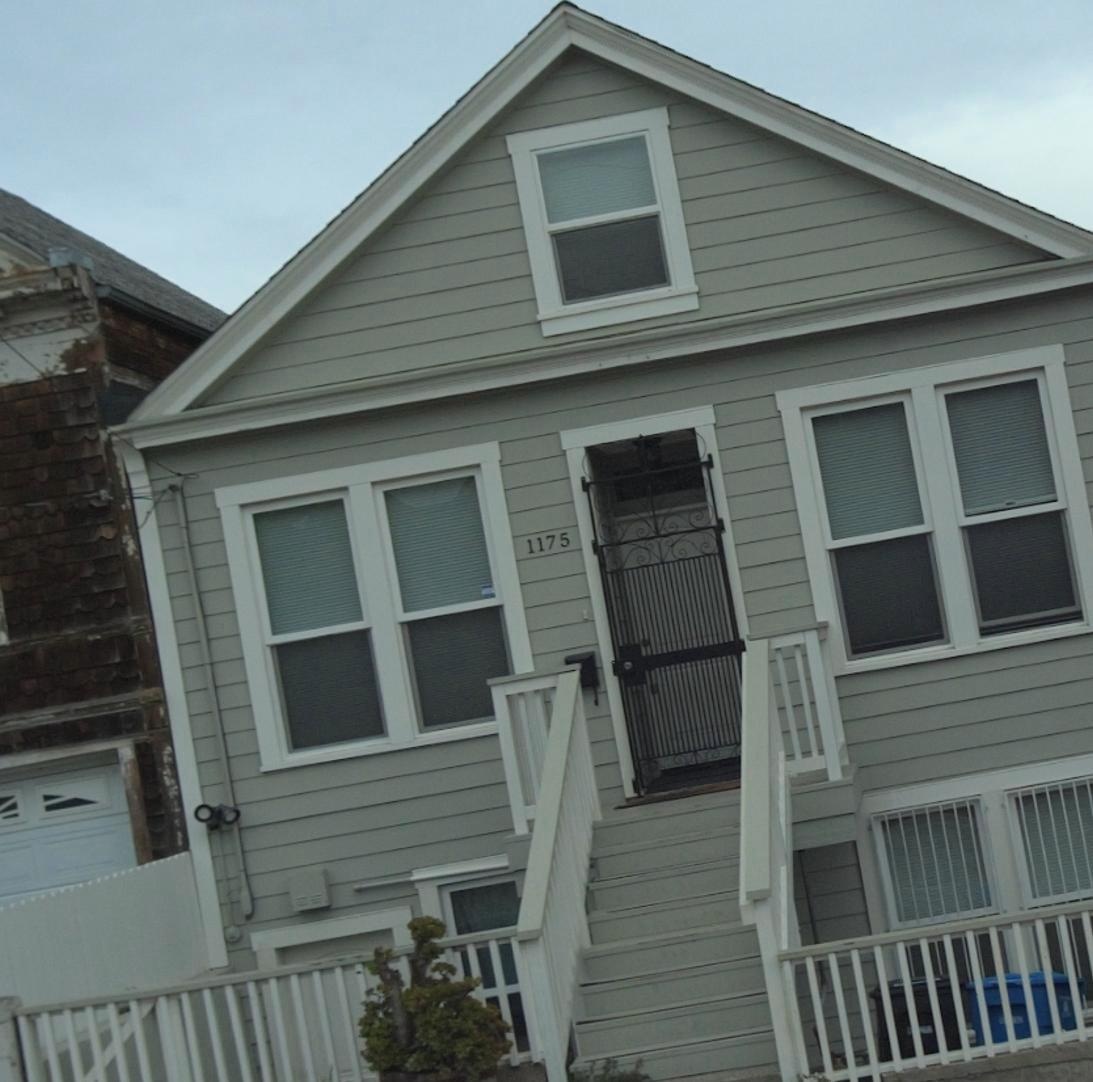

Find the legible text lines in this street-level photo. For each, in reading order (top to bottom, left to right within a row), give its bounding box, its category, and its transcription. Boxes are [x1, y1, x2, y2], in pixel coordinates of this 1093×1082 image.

[525, 530, 572, 555] StreetNumber: 1175